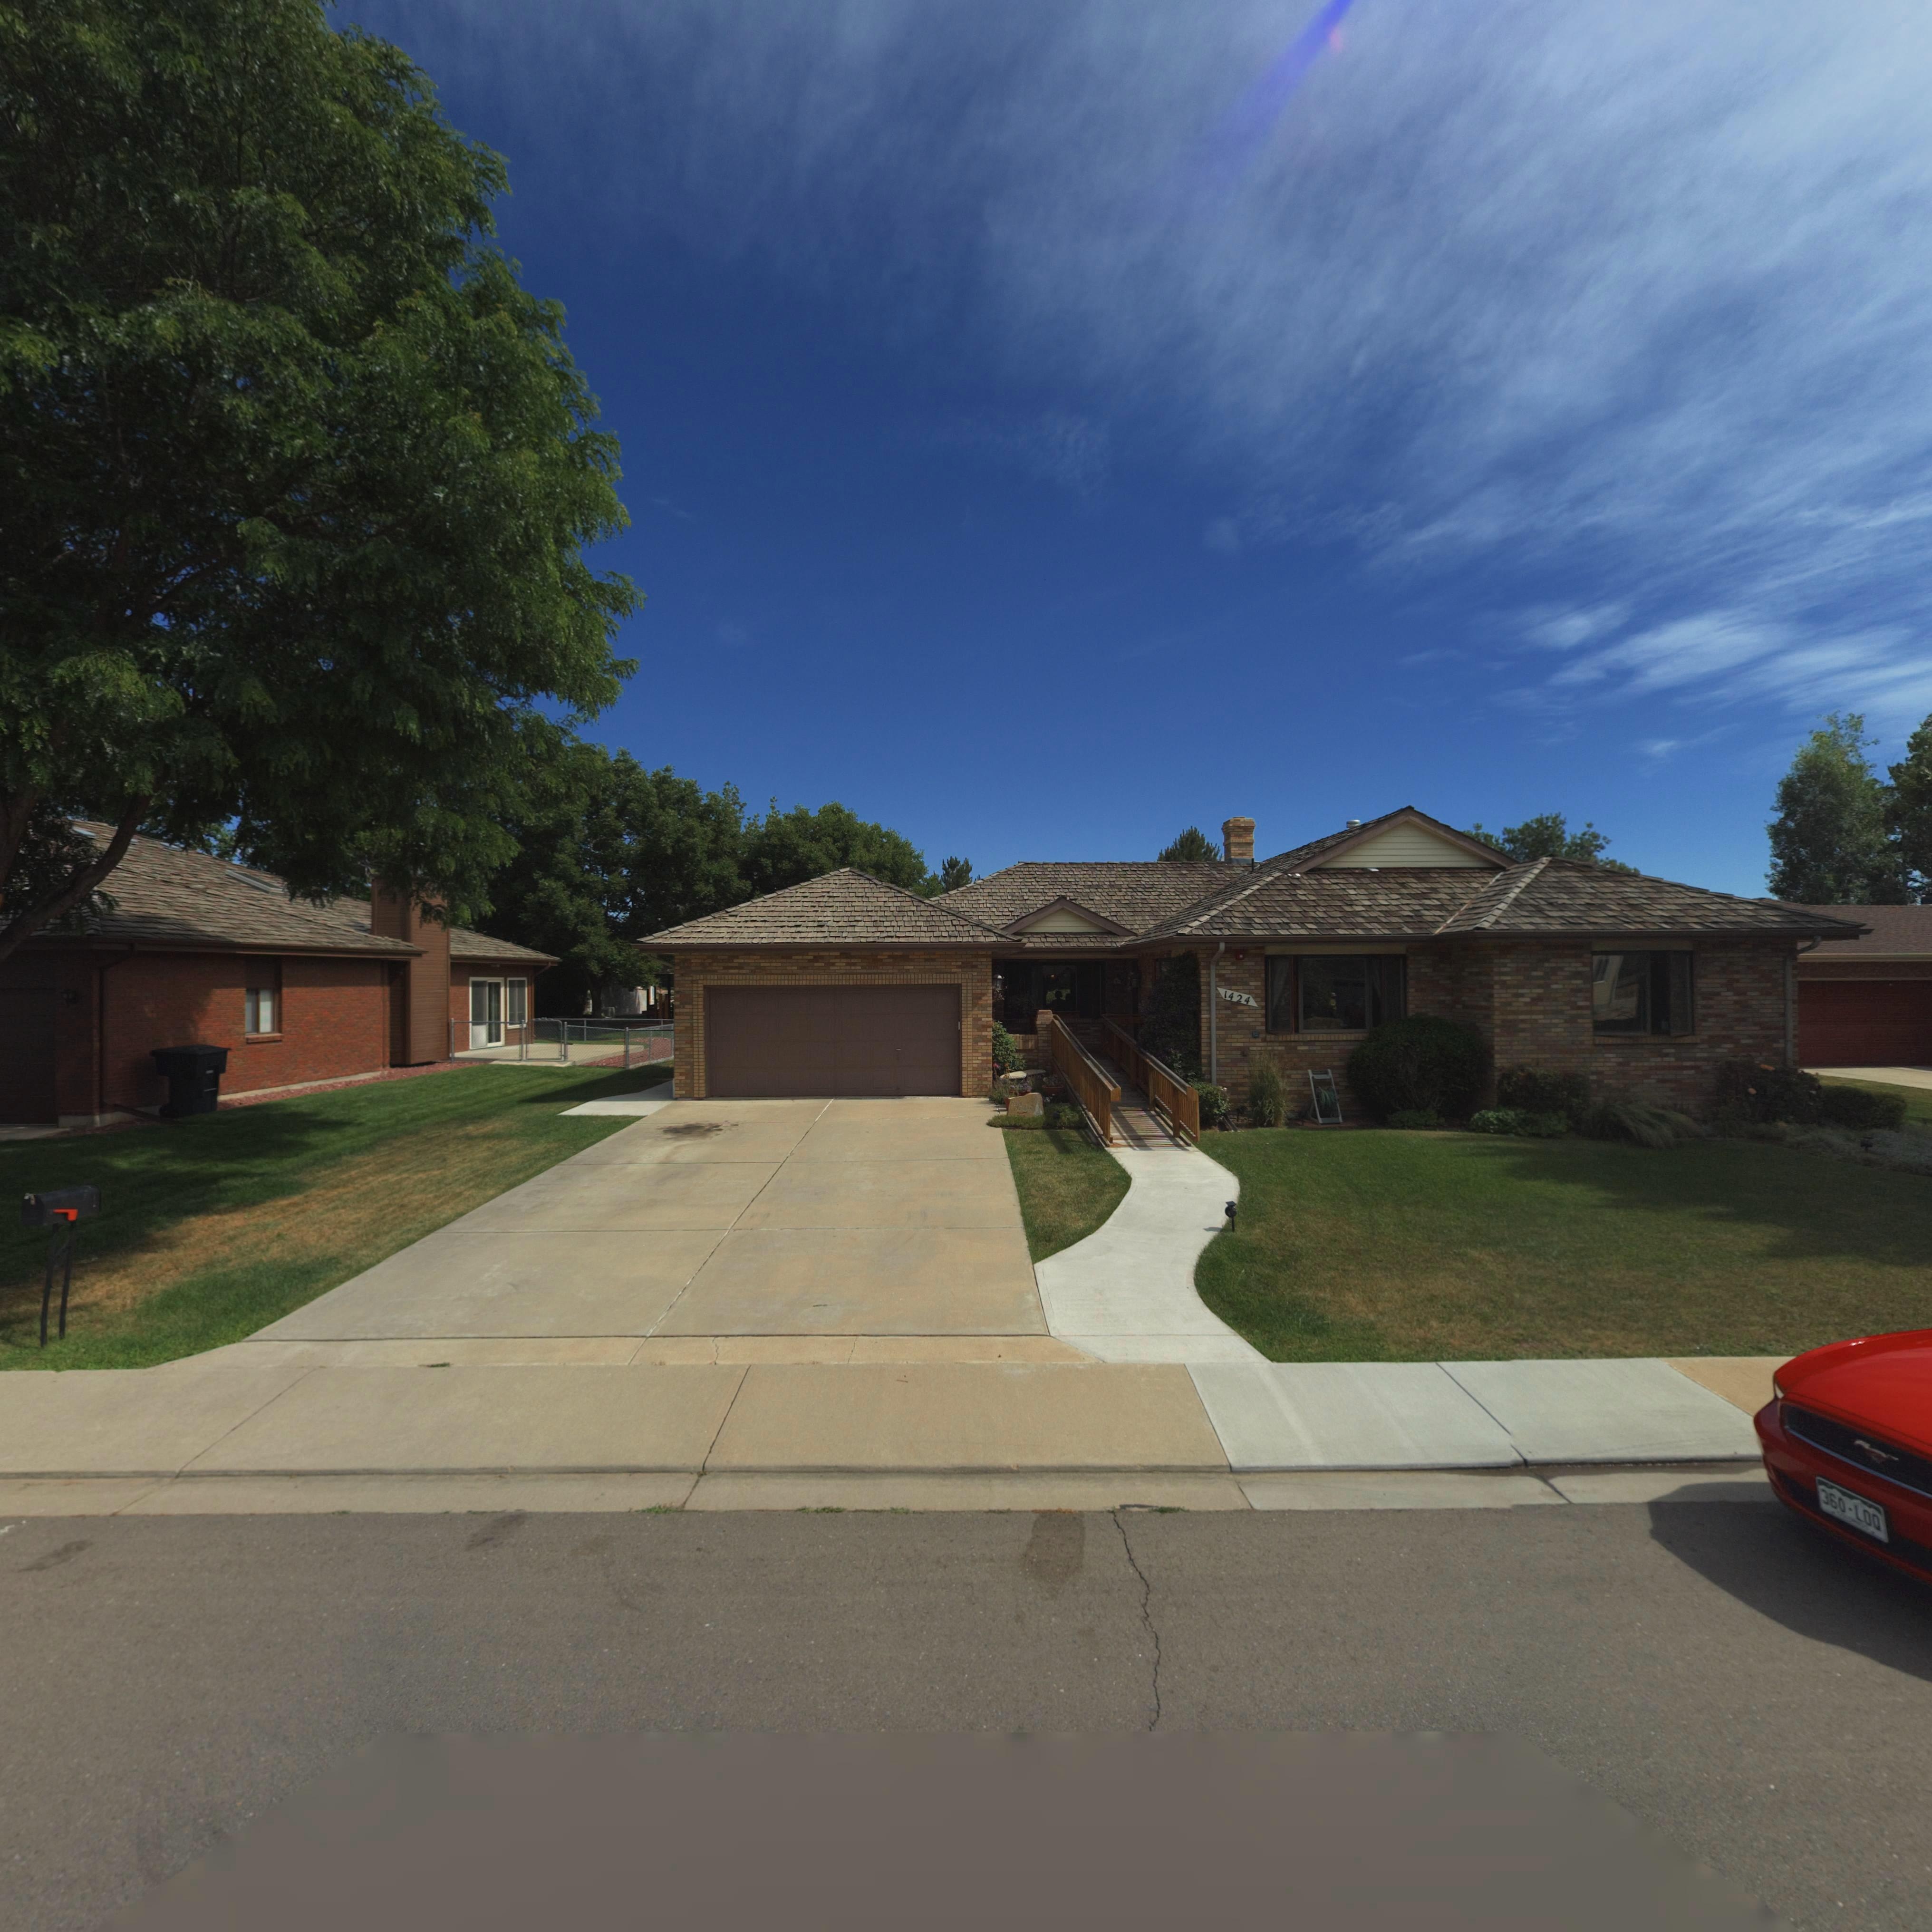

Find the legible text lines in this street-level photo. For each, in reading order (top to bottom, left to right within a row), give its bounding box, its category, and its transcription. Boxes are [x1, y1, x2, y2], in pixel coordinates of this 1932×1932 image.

[1224, 990, 1250, 1005] StreetNumber: 1424